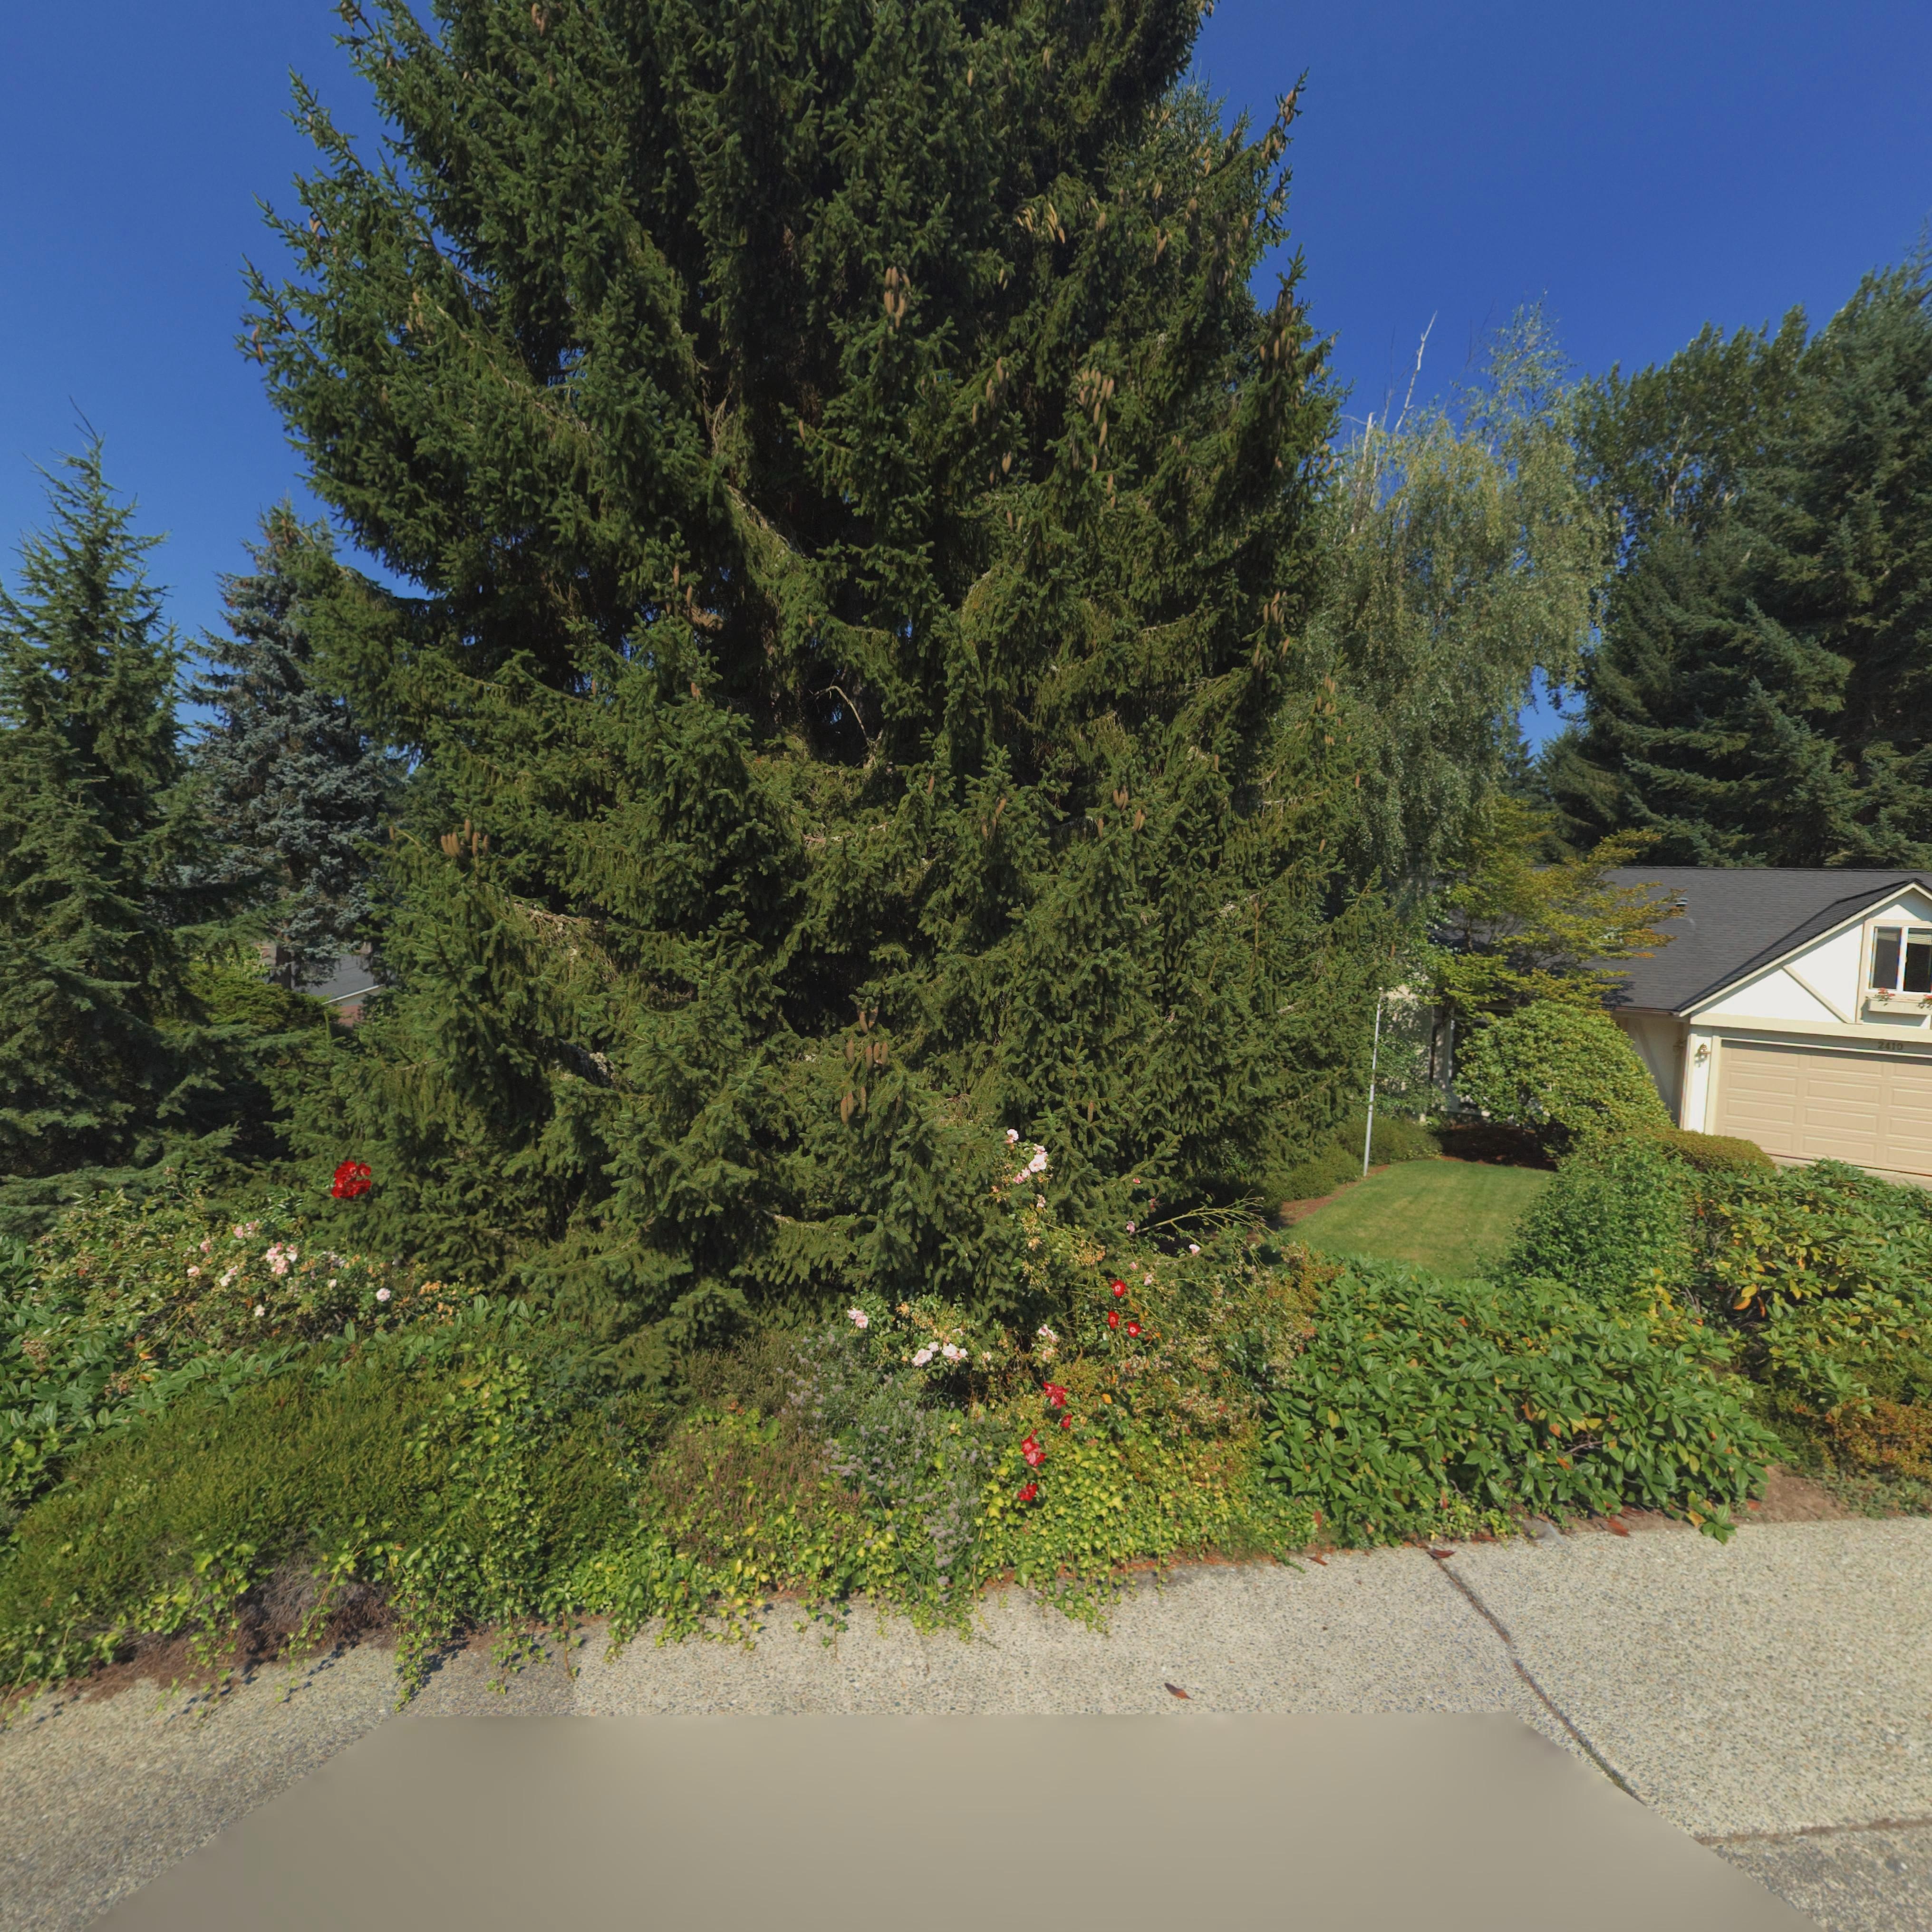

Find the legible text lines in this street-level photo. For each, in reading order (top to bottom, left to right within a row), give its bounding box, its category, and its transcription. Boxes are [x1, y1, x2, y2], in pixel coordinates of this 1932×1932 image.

[1878, 1041, 1903, 1050] StreetNumber: 2410